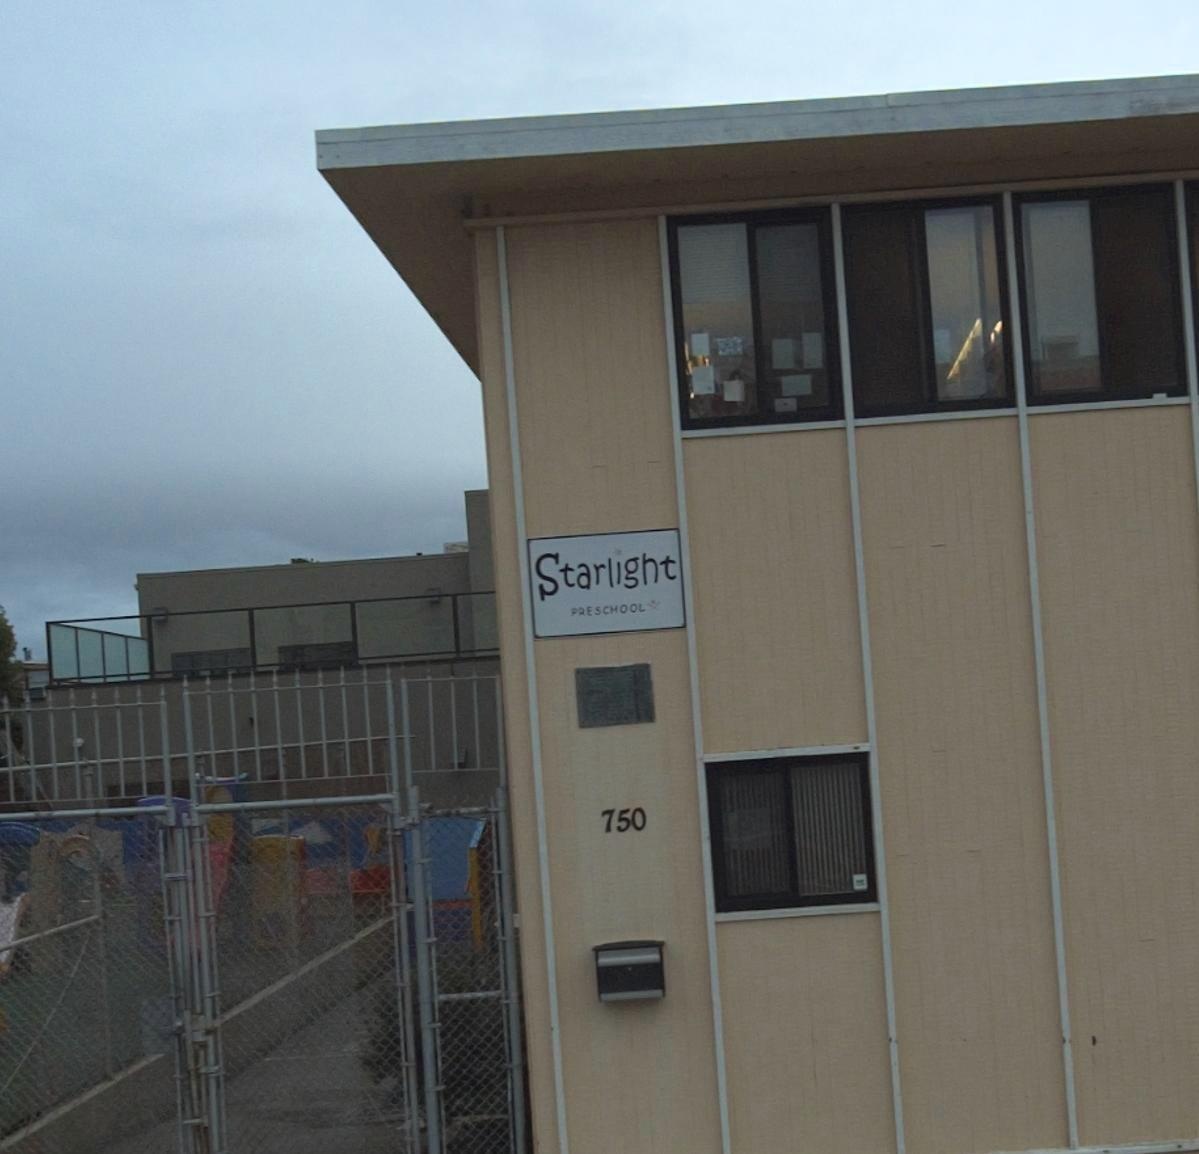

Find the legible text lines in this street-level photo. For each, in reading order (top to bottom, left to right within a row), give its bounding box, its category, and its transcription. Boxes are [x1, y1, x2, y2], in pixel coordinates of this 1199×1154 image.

[531, 549, 679, 604] BusinessName: Starlight
[567, 600, 649, 621] BusinessName: PRESCHOOL
[598, 804, 651, 836] StreetNumber: 750